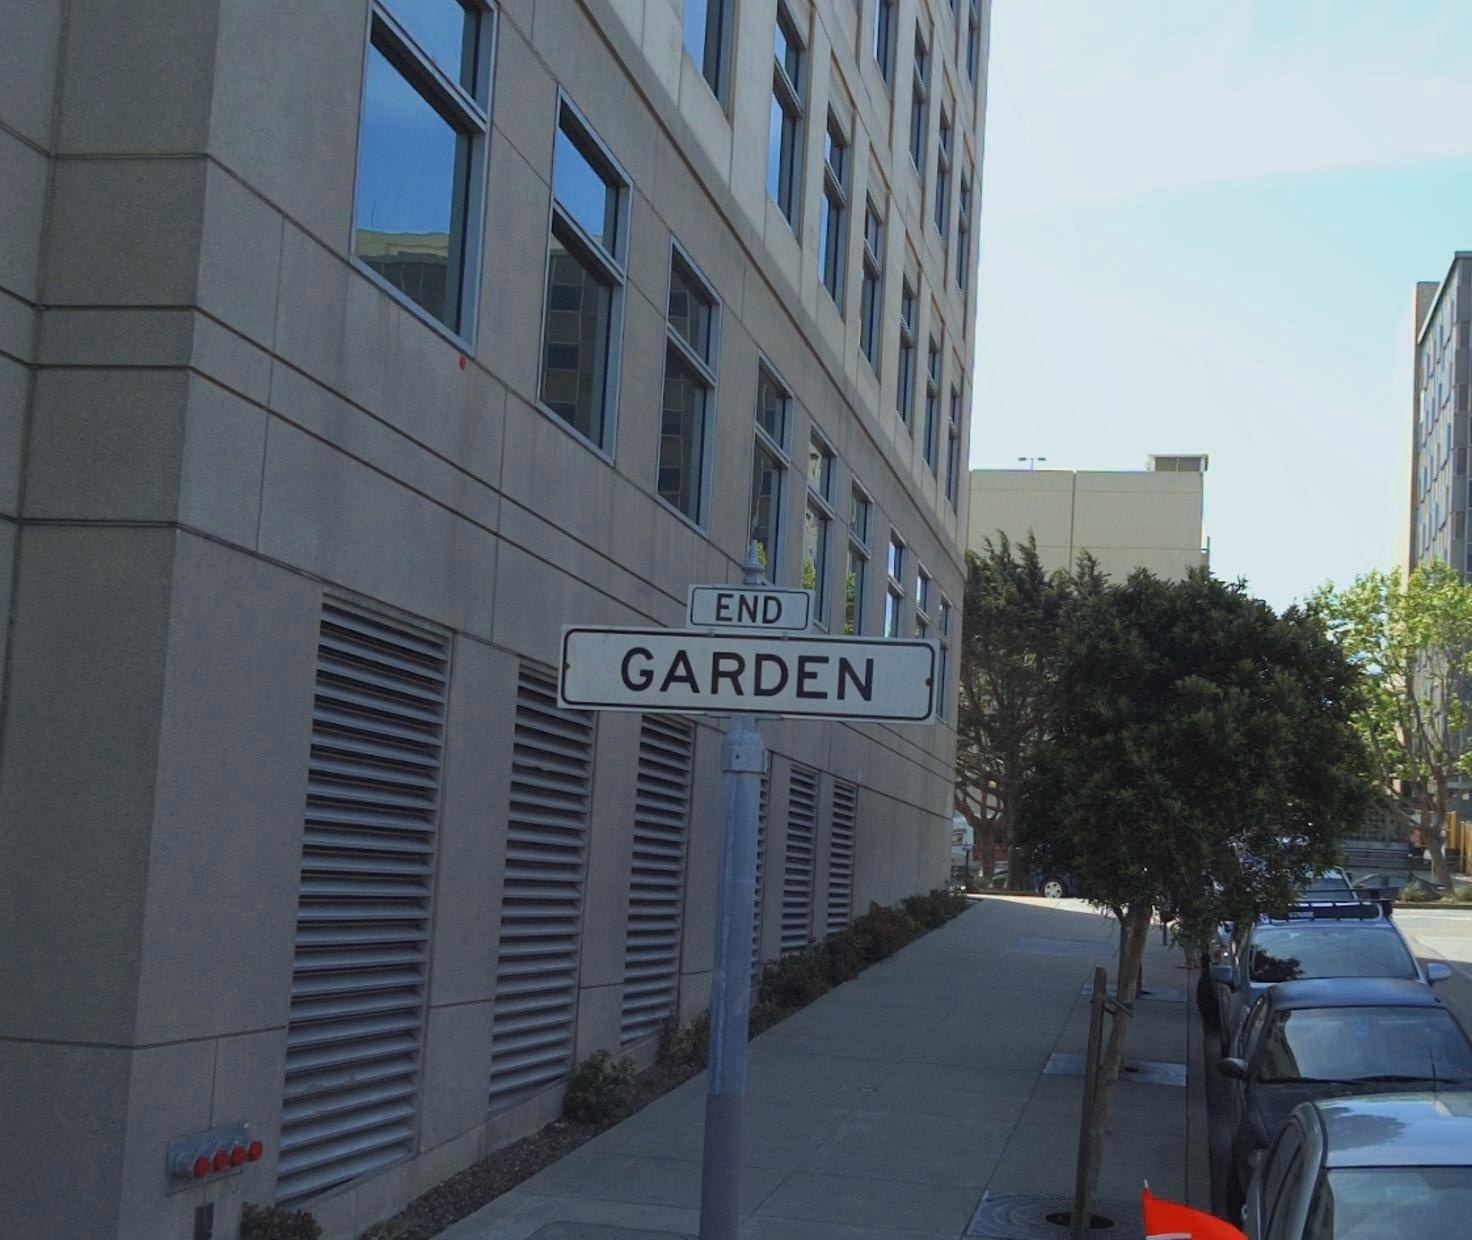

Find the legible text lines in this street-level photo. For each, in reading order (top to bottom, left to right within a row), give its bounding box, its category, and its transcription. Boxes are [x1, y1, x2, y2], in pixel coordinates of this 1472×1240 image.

[707, 589, 785, 625] None: END
[620, 644, 878, 701] StreetName: GARDEN